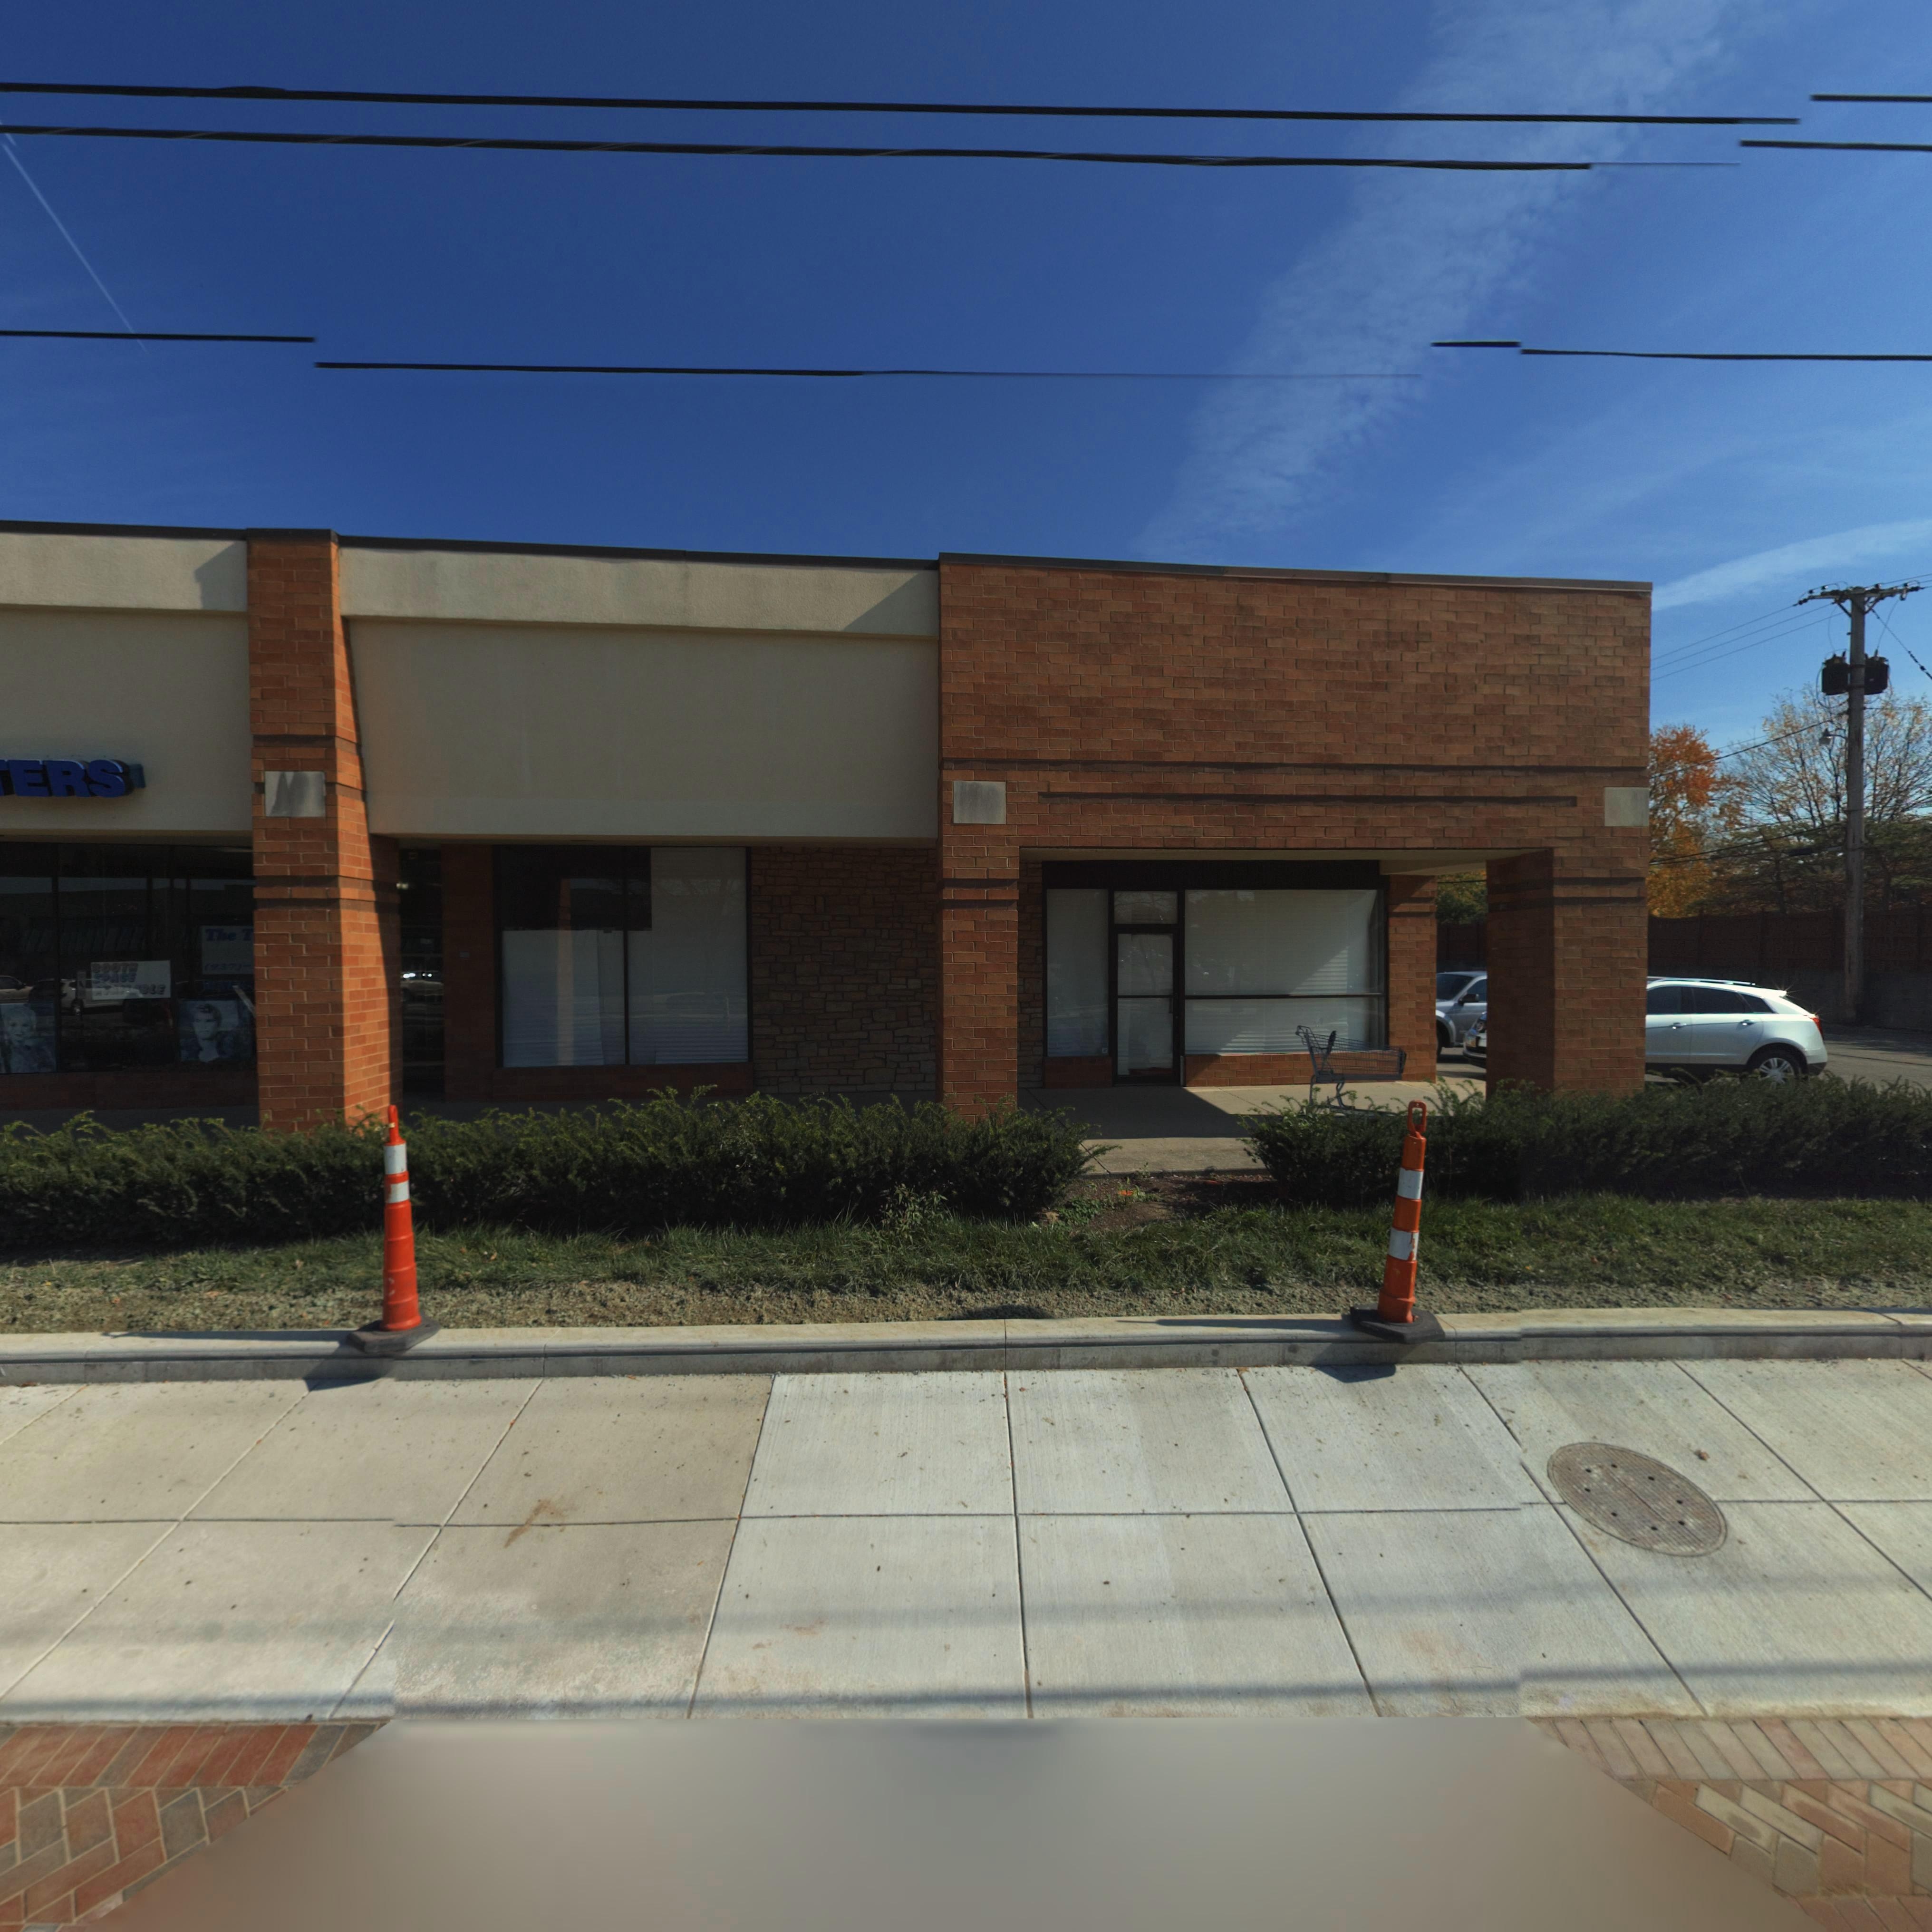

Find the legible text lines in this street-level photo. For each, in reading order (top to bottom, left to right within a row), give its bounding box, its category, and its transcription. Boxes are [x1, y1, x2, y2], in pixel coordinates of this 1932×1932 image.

[5, 758, 128, 797] BusinessName: ERS
[204, 927, 255, 943] None: The T
[91, 962, 139, 974] None: BOOTH
[203, 962, 252, 972] None: (937)-
[91, 973, 138, 984] None: *PACE
[139, 984, 166, 995] None: BLE